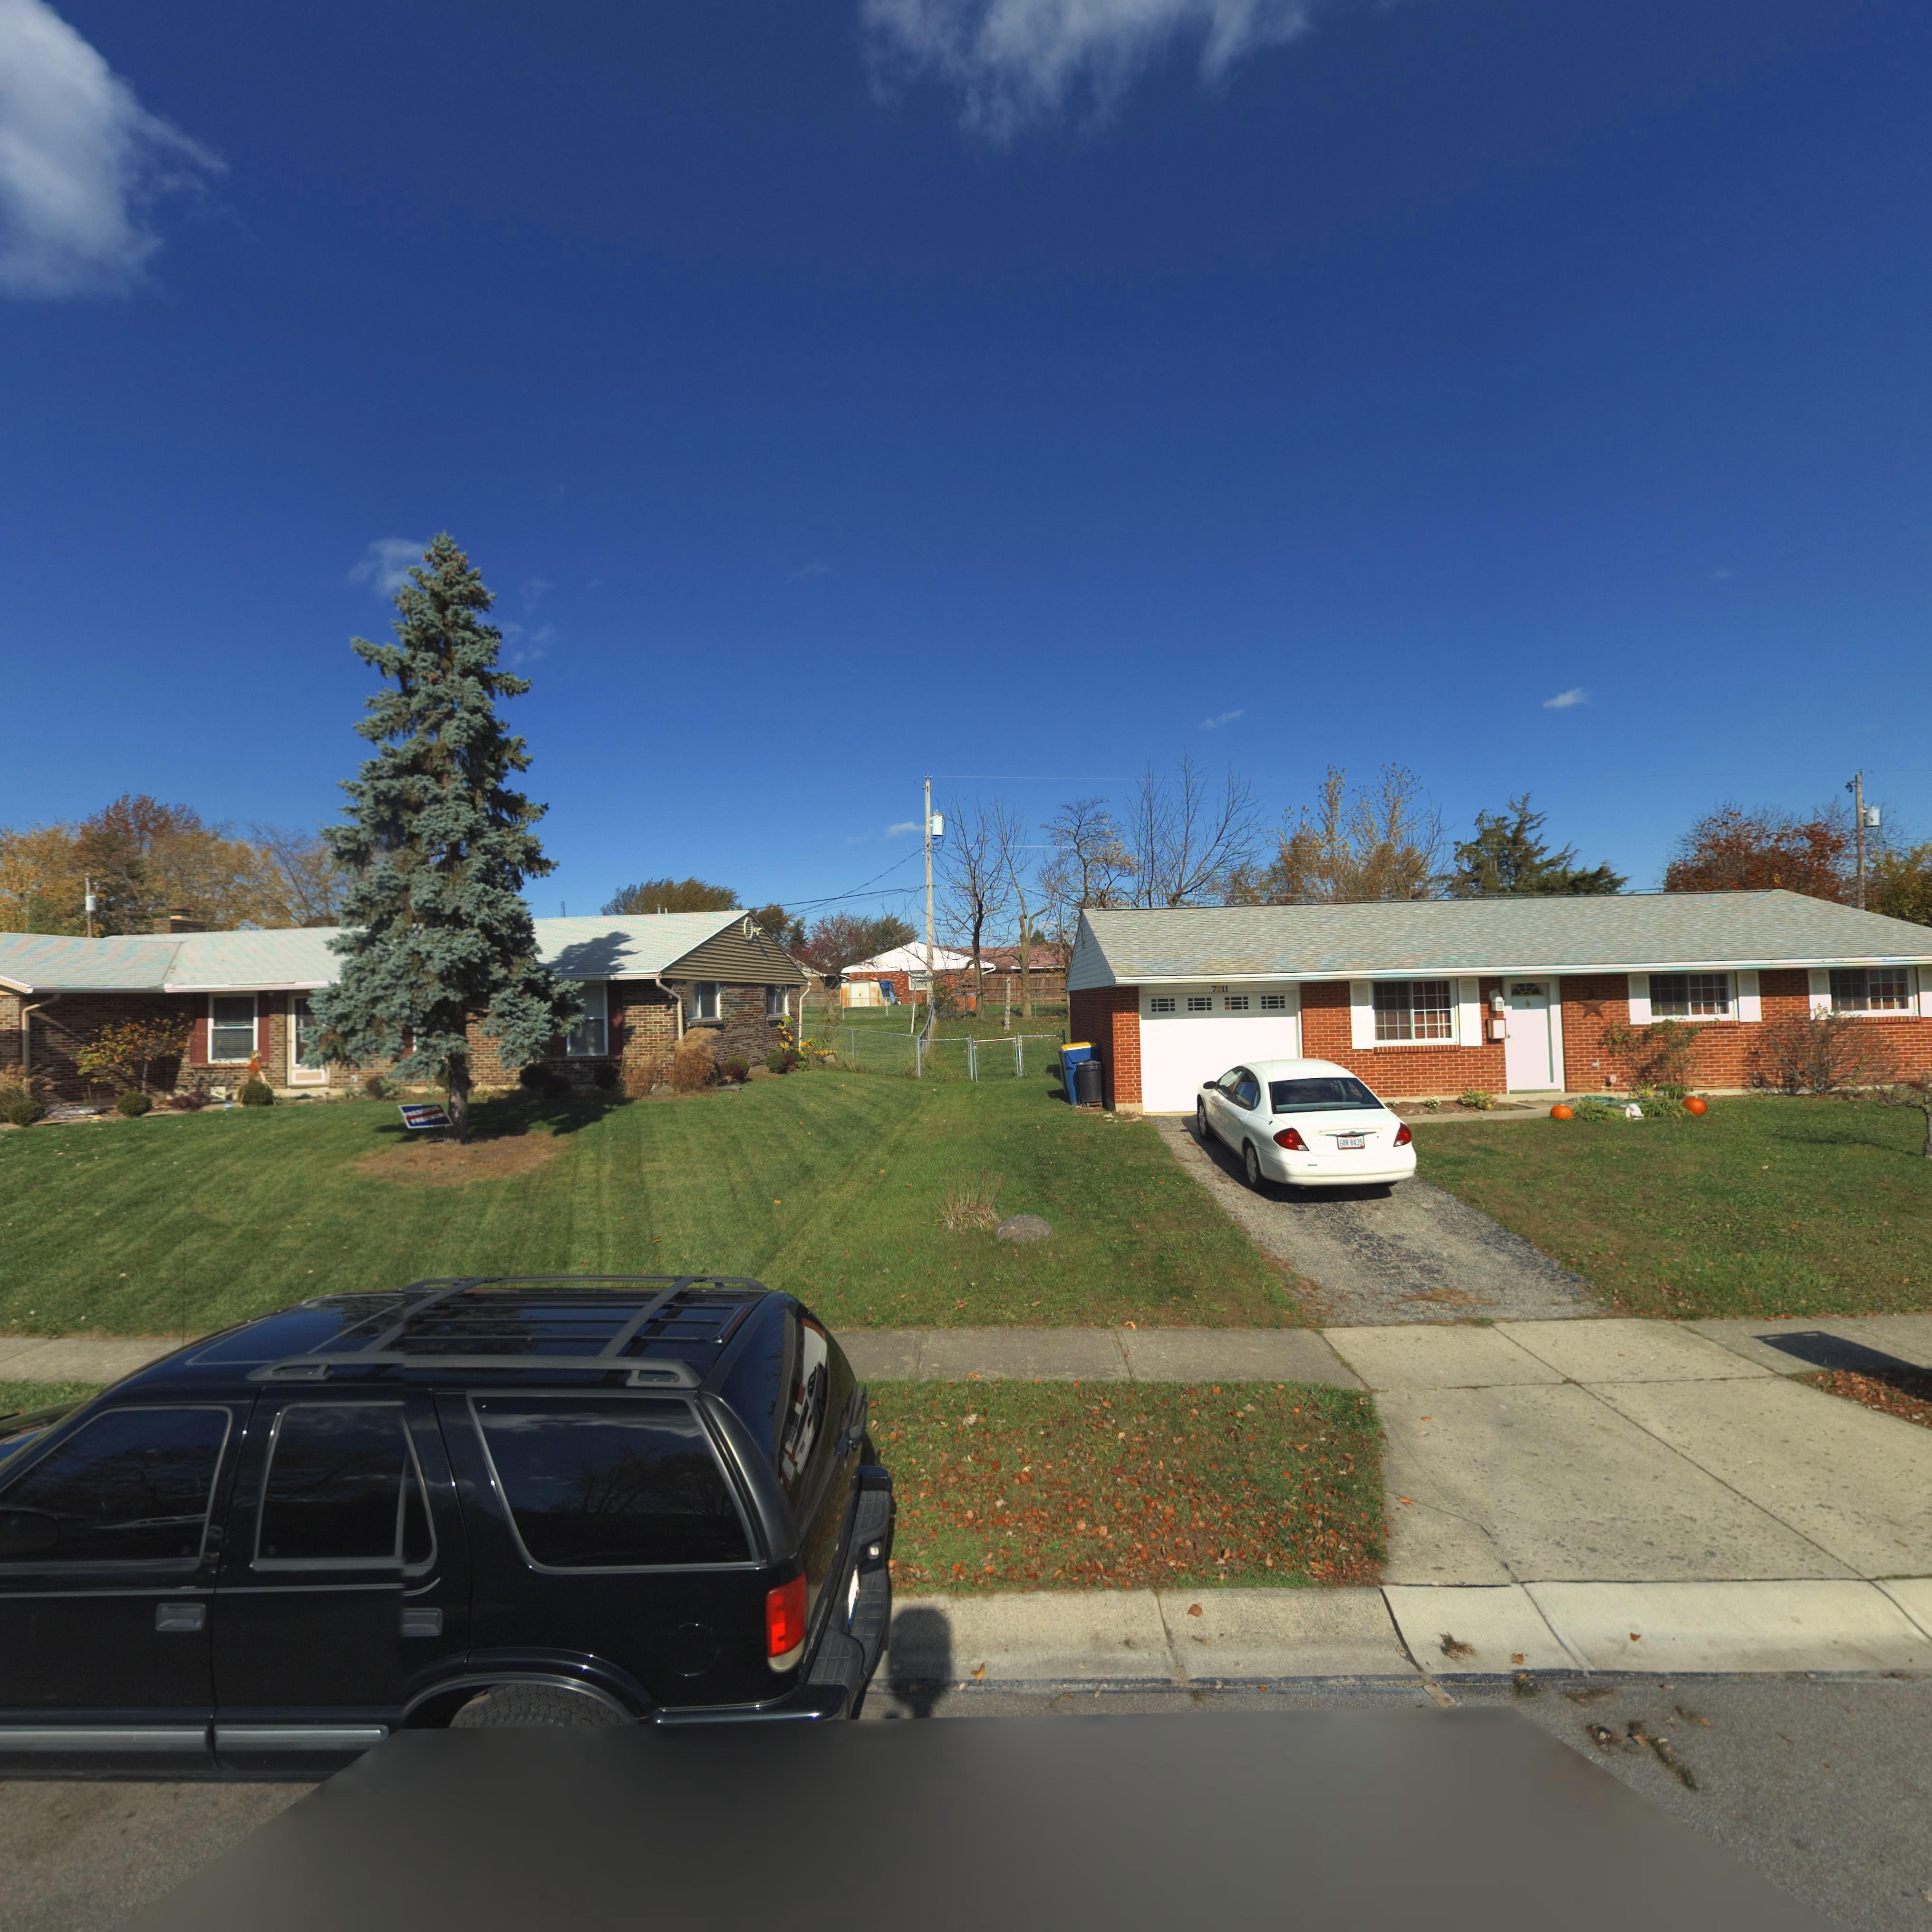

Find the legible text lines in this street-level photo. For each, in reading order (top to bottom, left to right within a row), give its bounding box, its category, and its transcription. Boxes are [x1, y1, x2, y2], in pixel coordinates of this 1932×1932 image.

[1211, 985, 1230, 994] StreetNumber: 7211